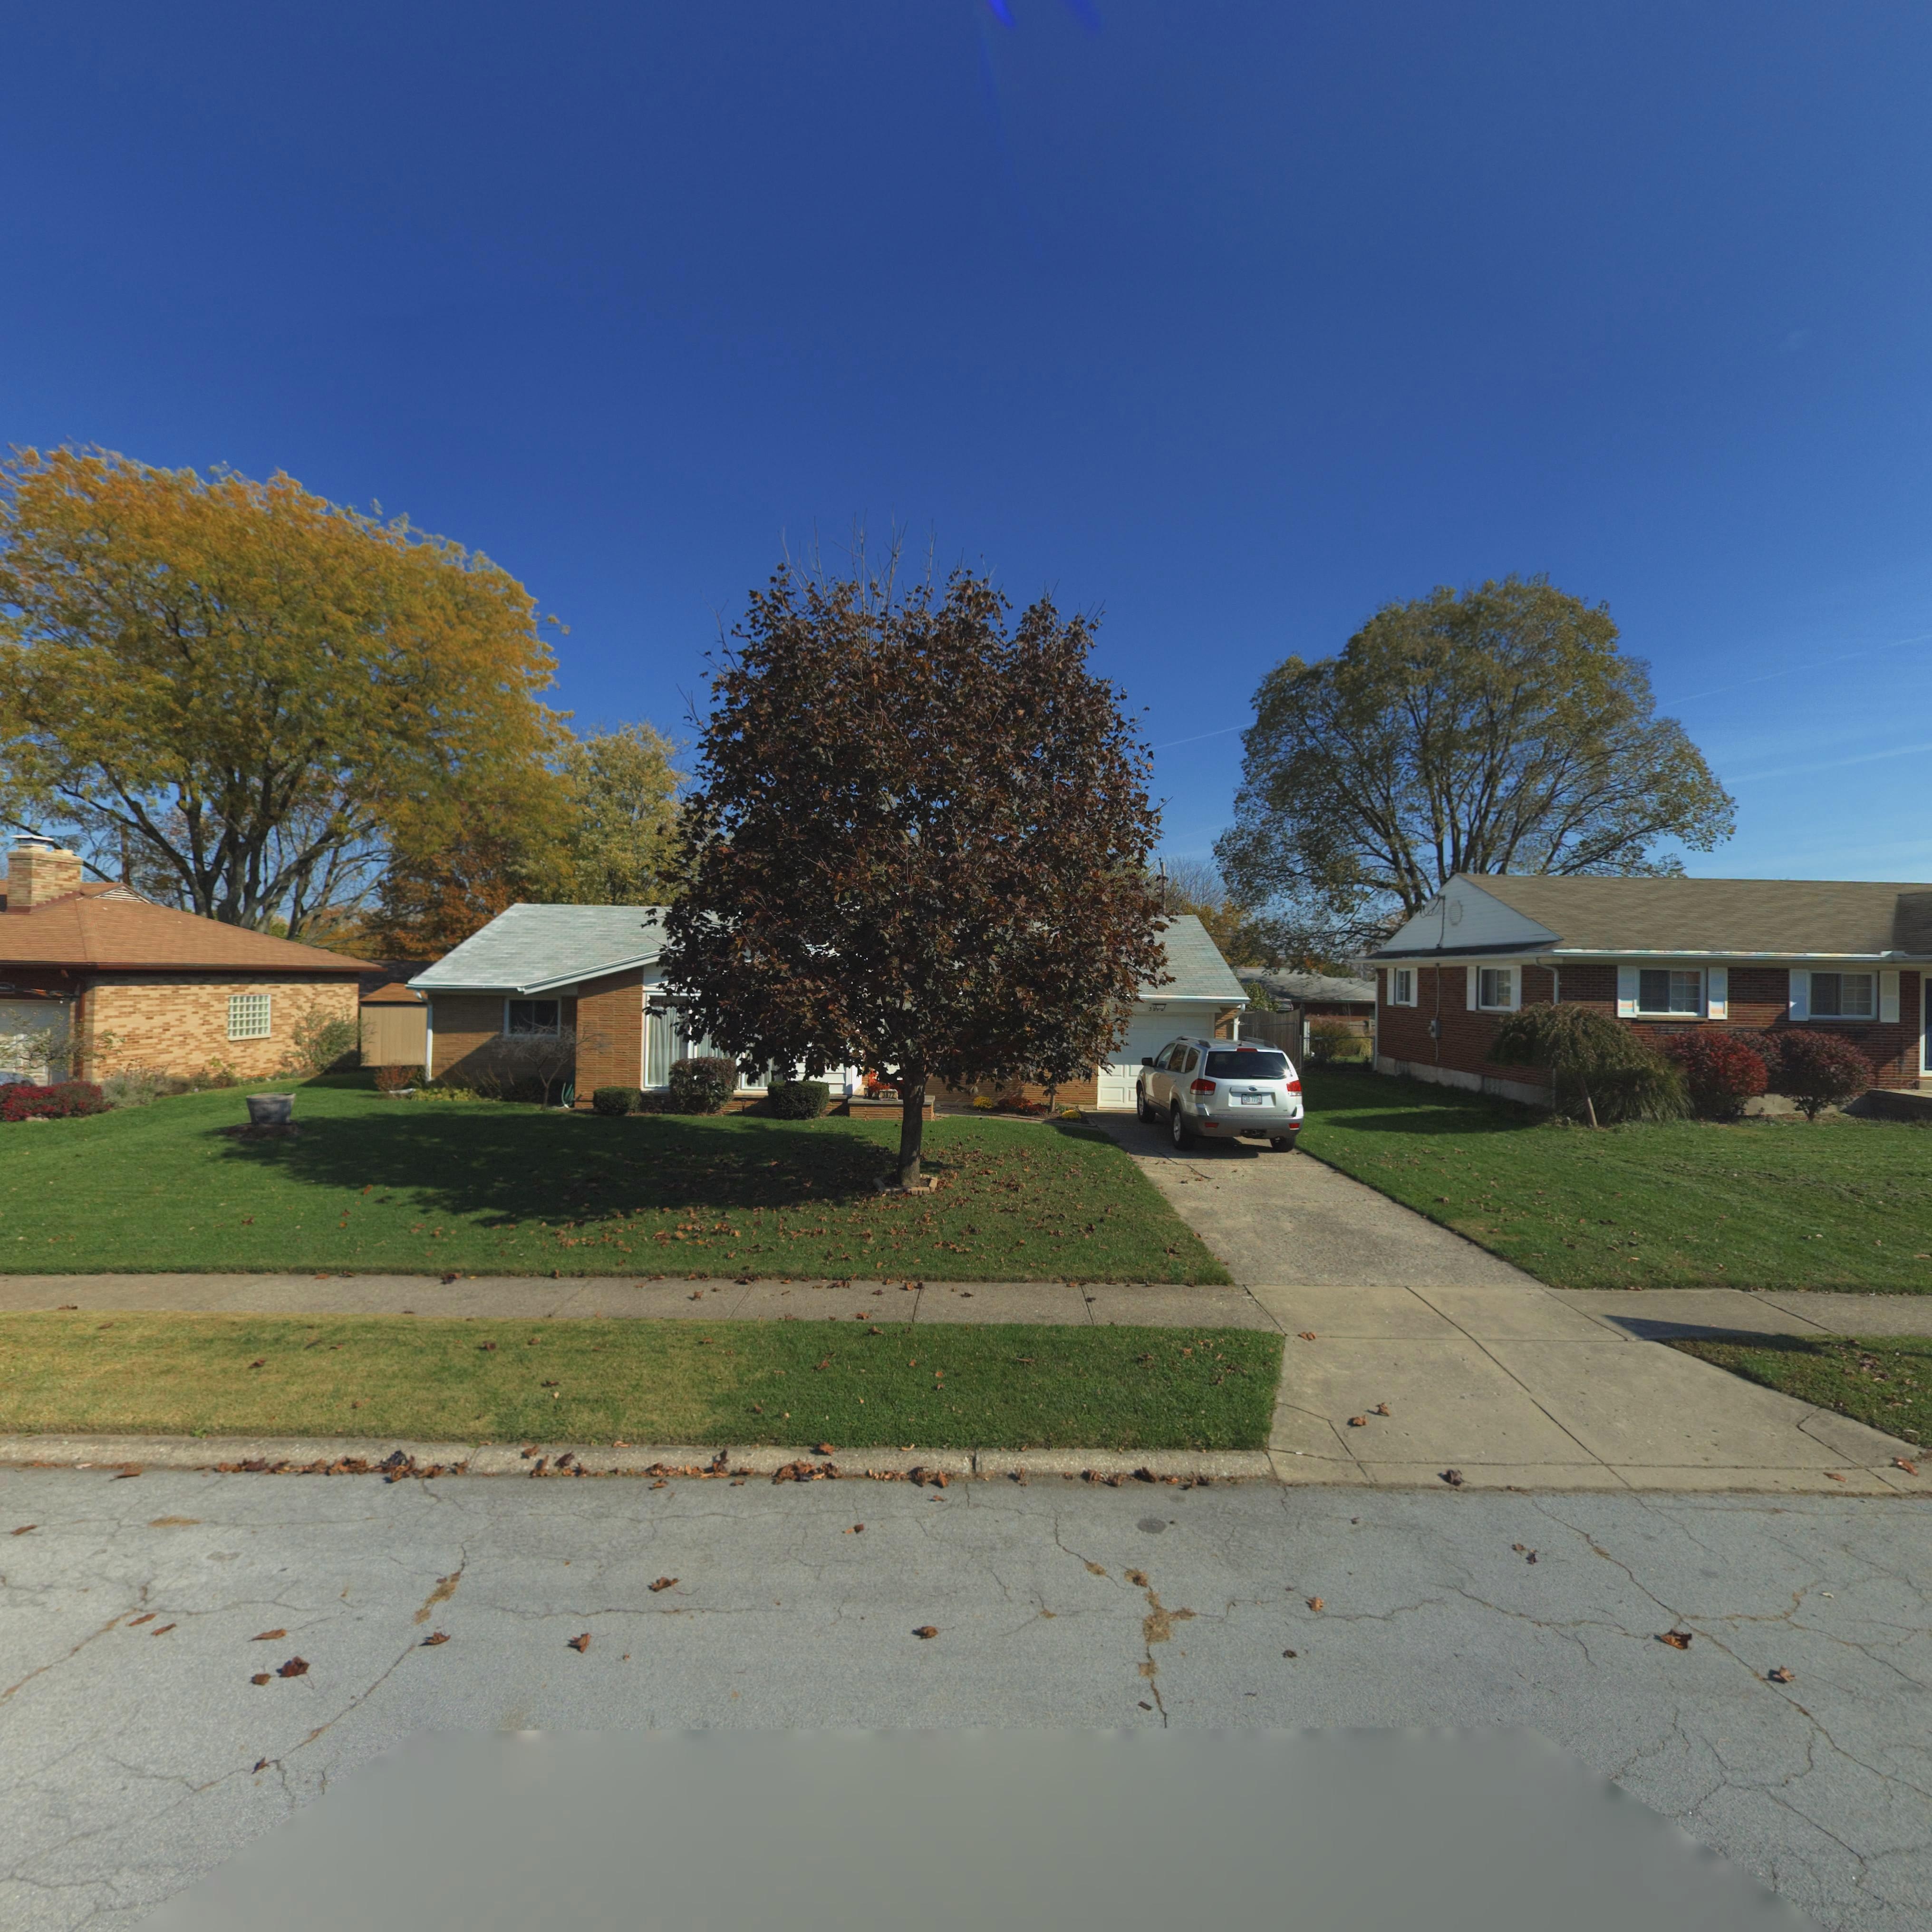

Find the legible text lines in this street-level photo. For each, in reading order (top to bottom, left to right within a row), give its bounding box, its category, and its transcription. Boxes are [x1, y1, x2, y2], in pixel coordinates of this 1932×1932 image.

[1148, 1006, 1152, 1012] StreetNumber: 3
[882, 1092, 894, 1098] StreetNumber: 3872